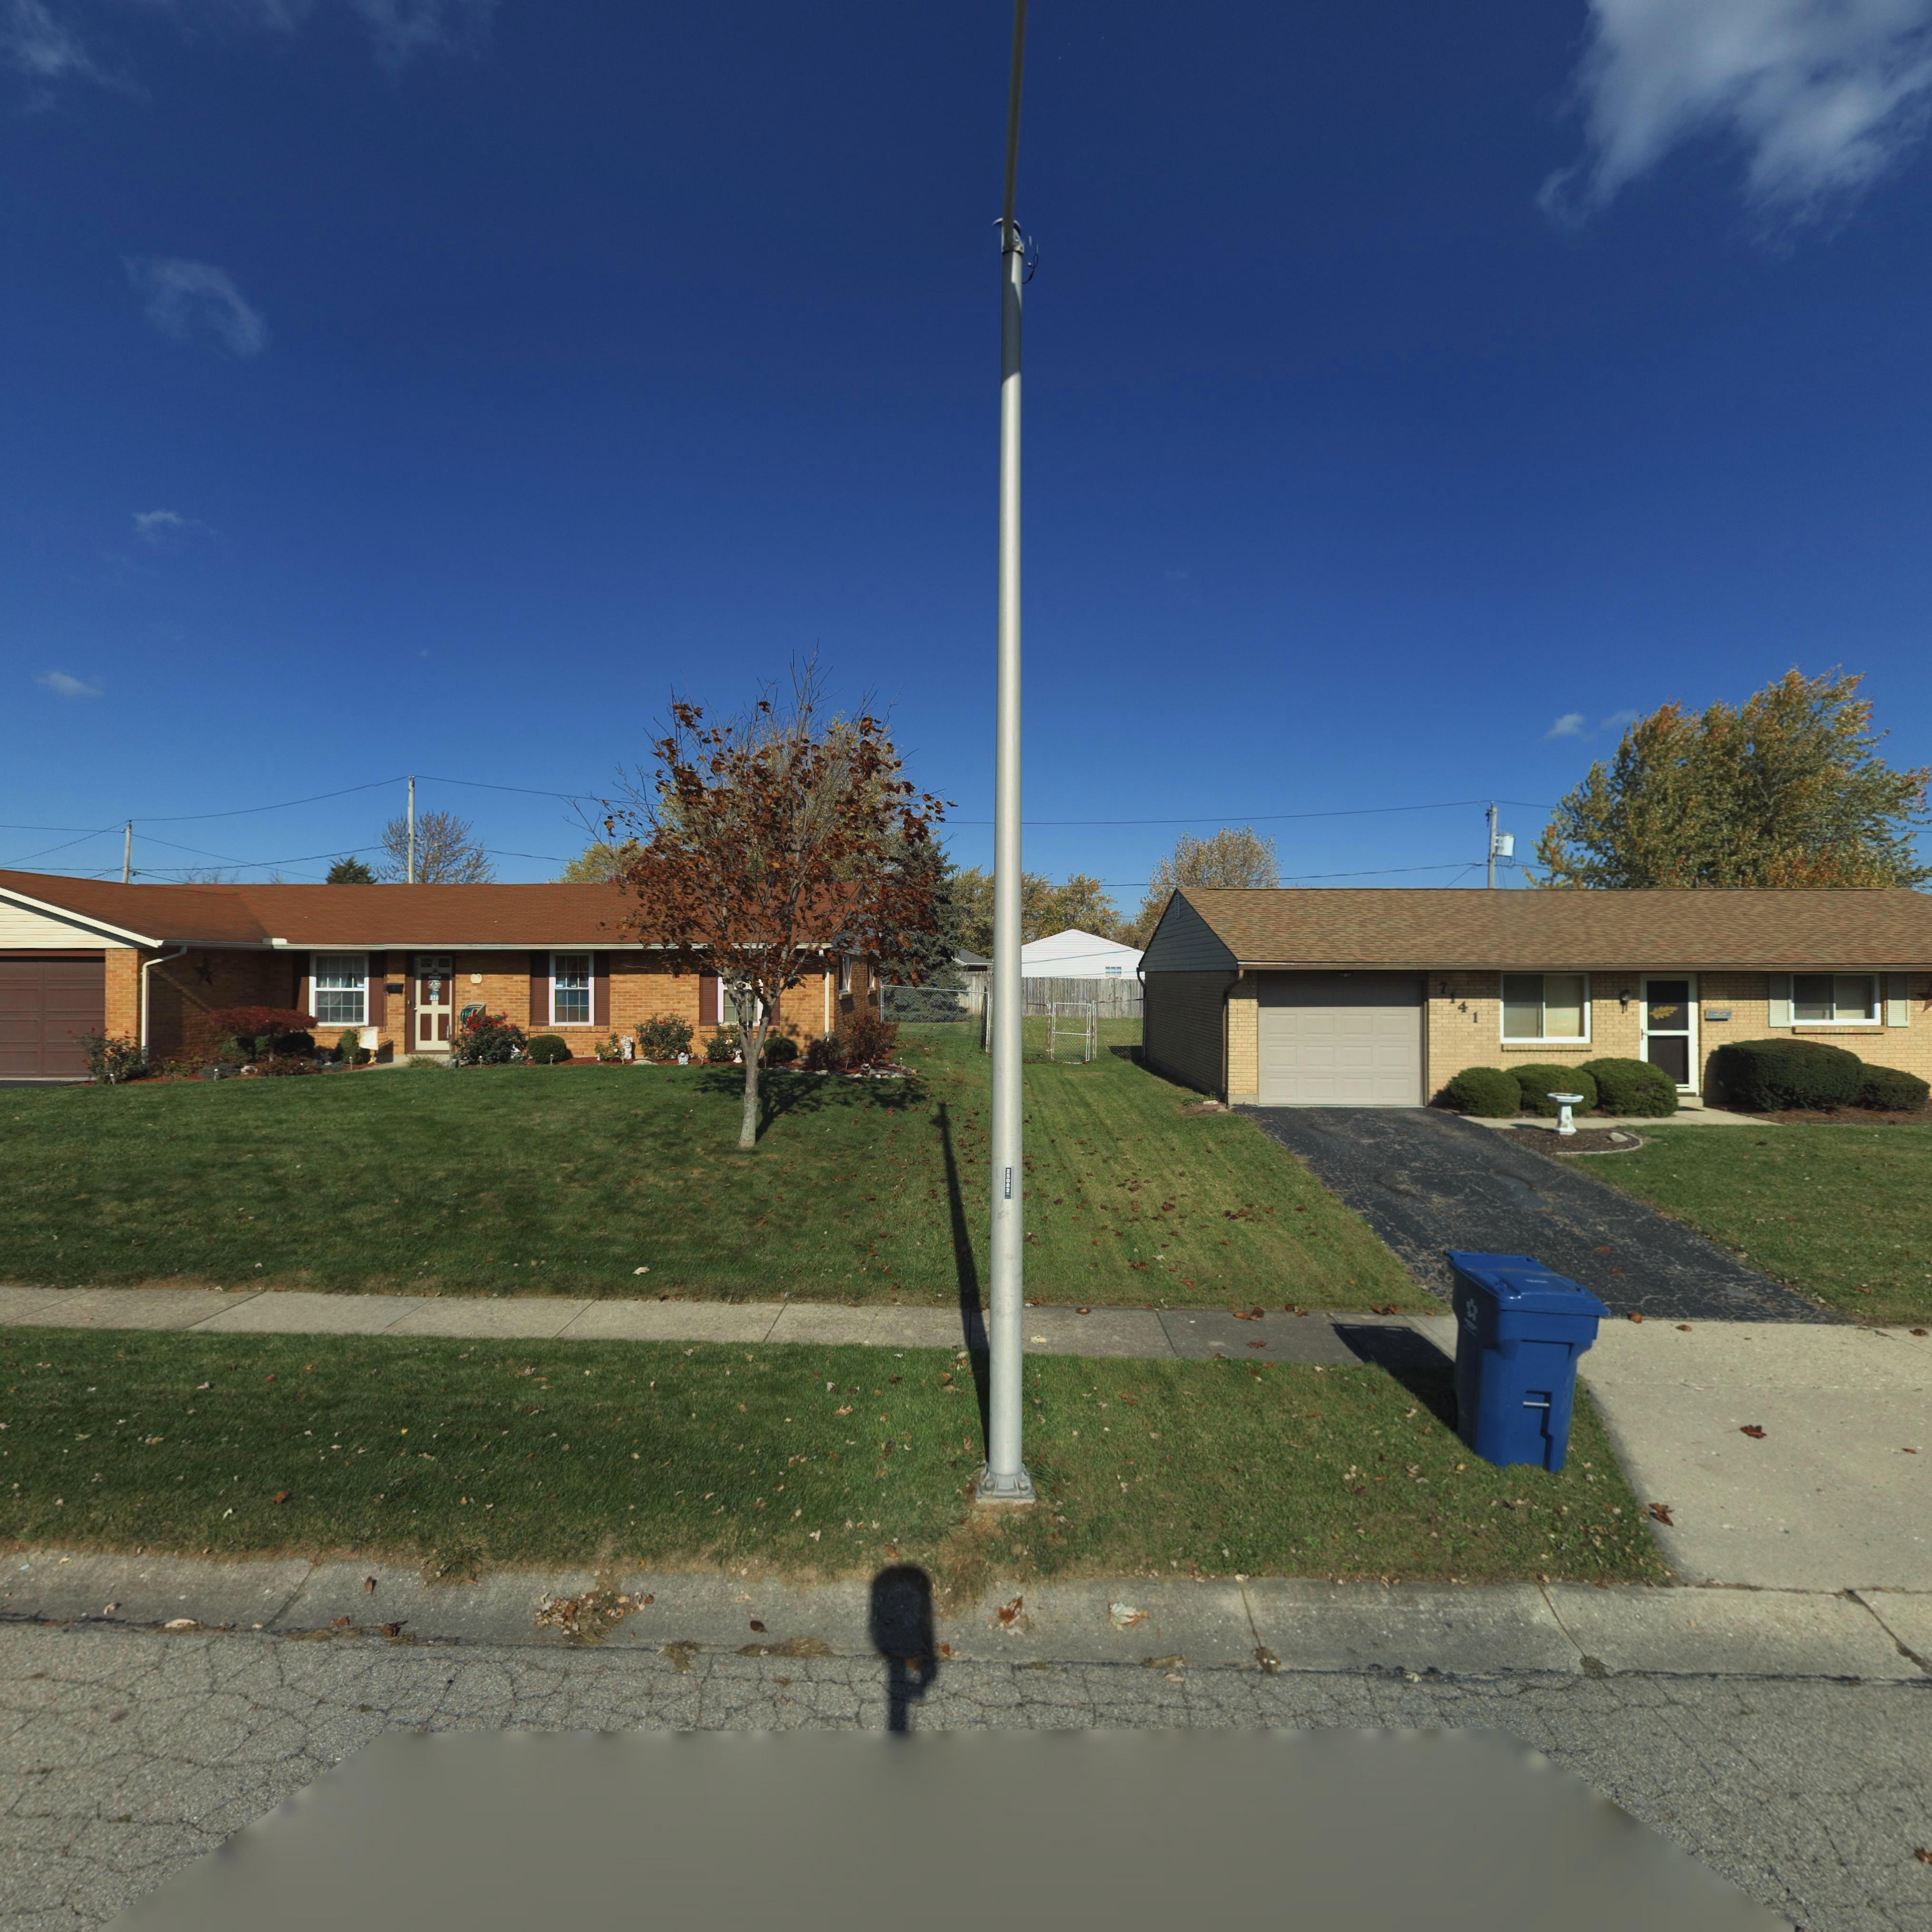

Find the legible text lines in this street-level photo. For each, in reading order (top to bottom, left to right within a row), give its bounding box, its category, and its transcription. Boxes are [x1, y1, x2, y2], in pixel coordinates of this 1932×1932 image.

[1438, 981, 1479, 1024] StreetNumber: 7141